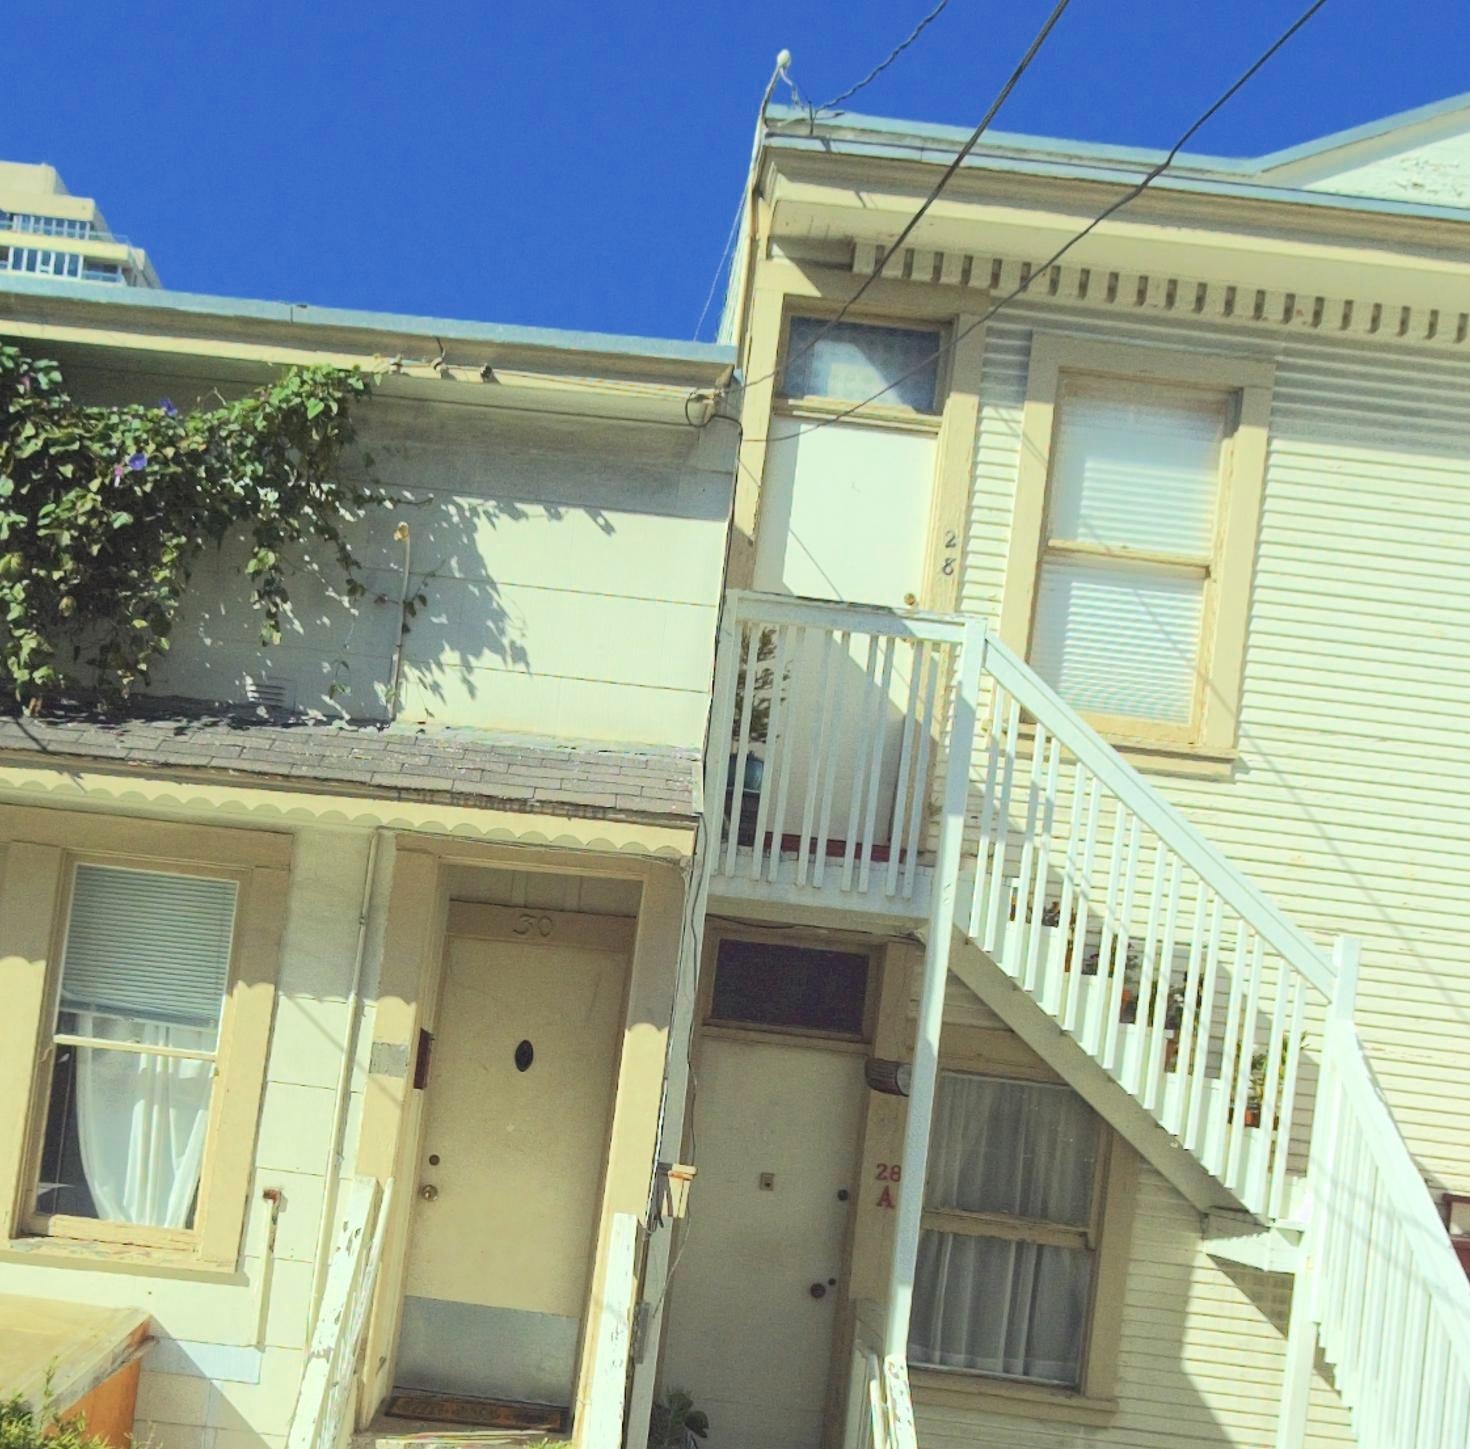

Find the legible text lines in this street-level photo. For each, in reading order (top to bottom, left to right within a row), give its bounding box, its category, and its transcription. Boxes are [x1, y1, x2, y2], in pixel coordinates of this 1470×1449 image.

[940, 527, 961, 578] StreetNumber: 28
[510, 911, 557, 939] StreetNumber: 30
[872, 1162, 904, 1211] StreetNumber: 28A